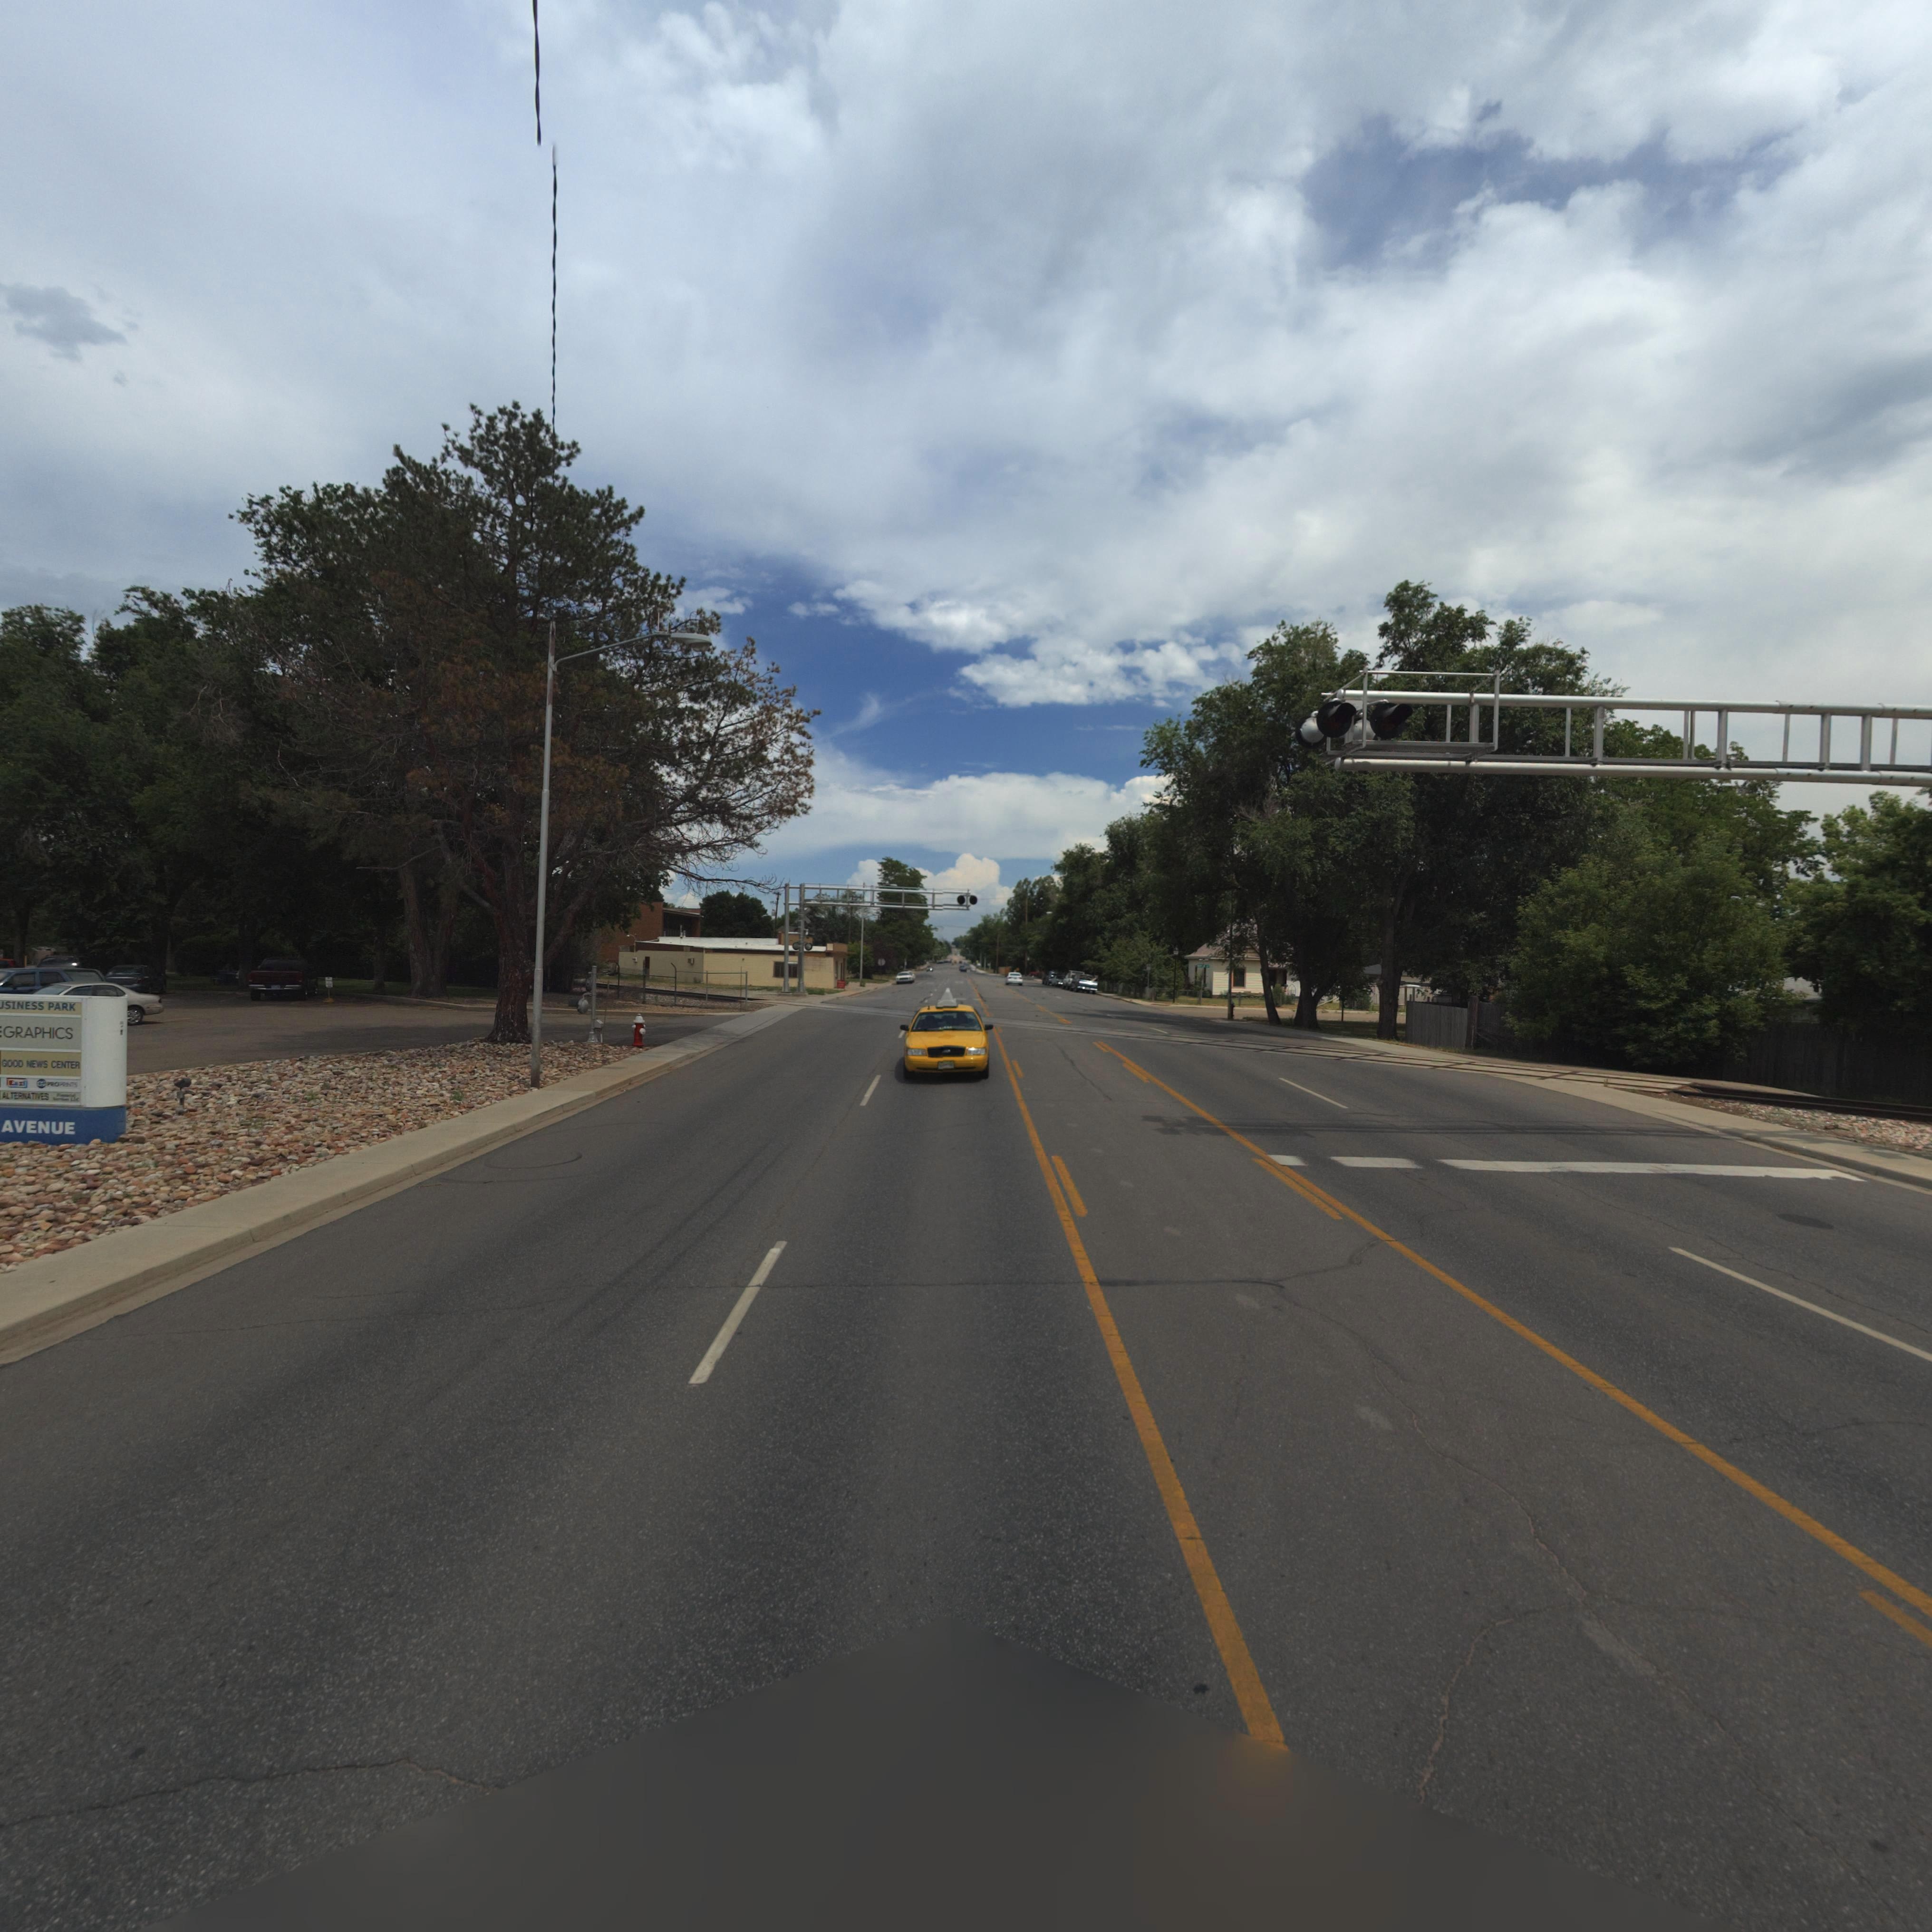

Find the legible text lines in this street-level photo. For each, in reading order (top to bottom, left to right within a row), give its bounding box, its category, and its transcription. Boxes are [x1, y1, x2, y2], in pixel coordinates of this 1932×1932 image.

[2, 1025, 74, 1040] BusinessName: GRAPHICS
[1, 1058, 80, 1070] BusinessName: GOOD NEWS CENTER
[37, 1080, 79, 1088] BusinessName: ****G****S
[1, 1091, 50, 1101] BusinessName: ALTERNATIVES